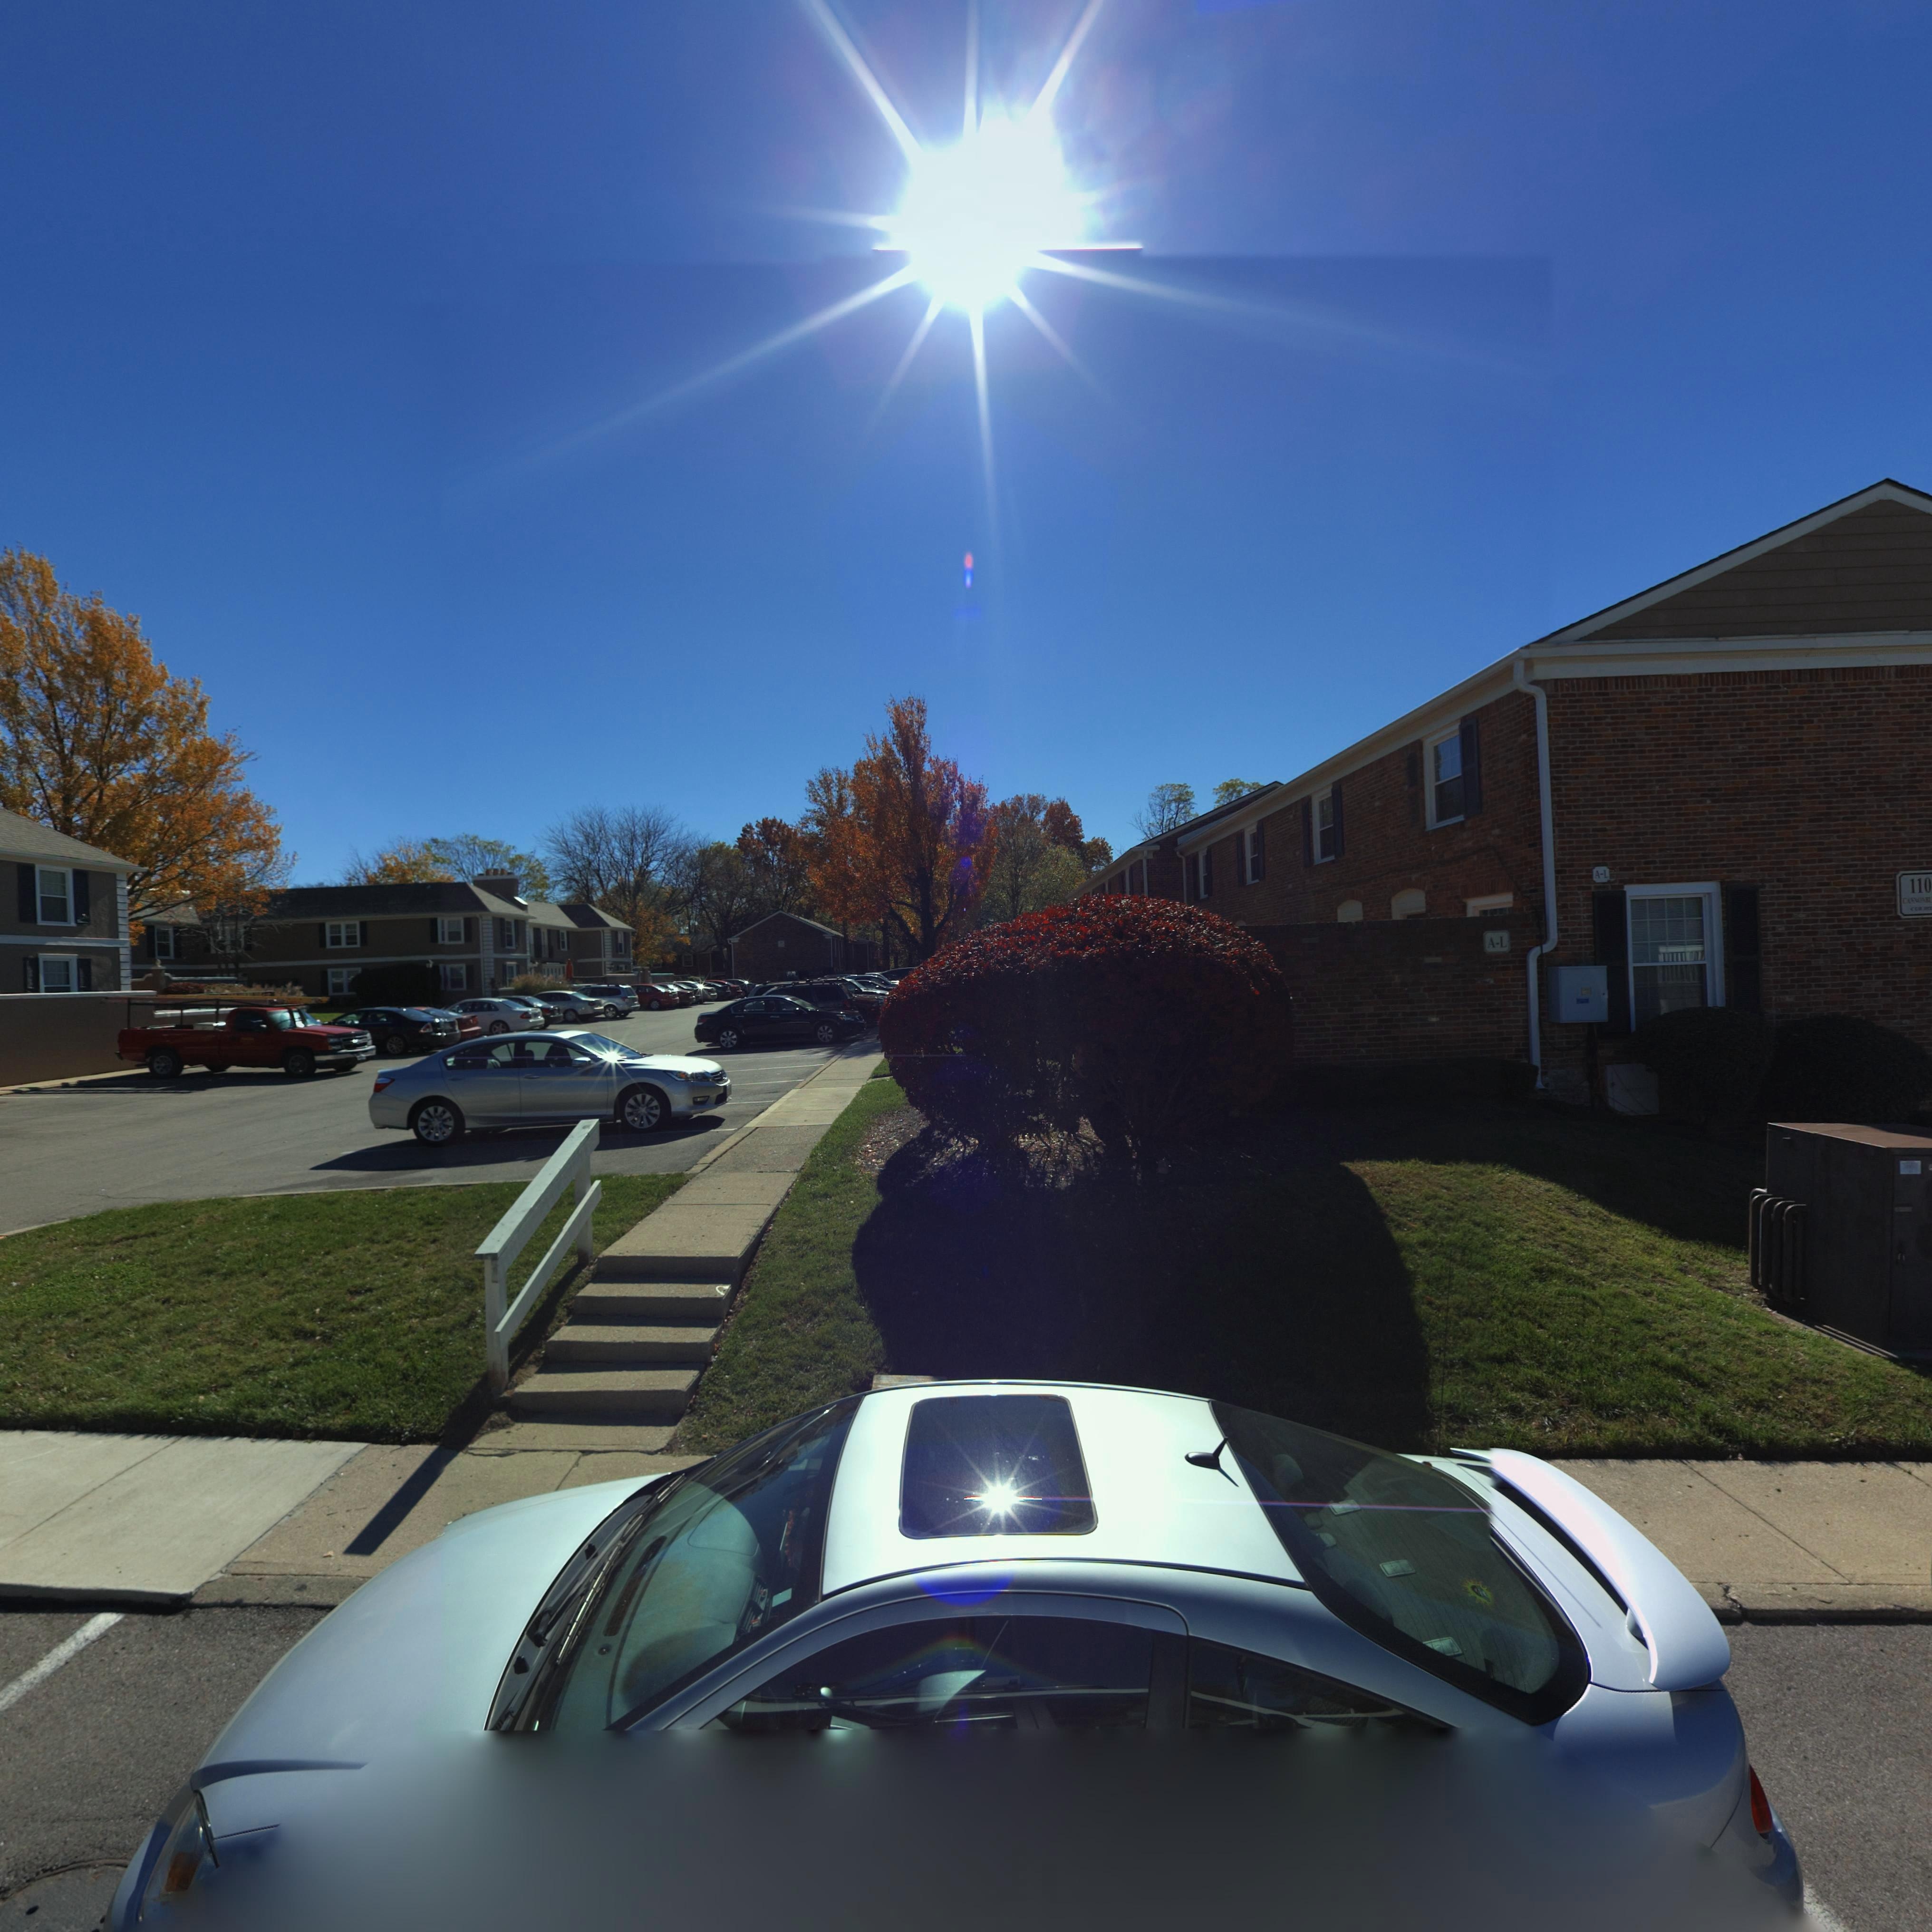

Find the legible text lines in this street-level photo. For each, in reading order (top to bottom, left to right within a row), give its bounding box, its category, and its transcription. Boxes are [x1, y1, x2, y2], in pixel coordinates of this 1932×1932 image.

[1909, 876, 1932, 895] StreetNumber: 110